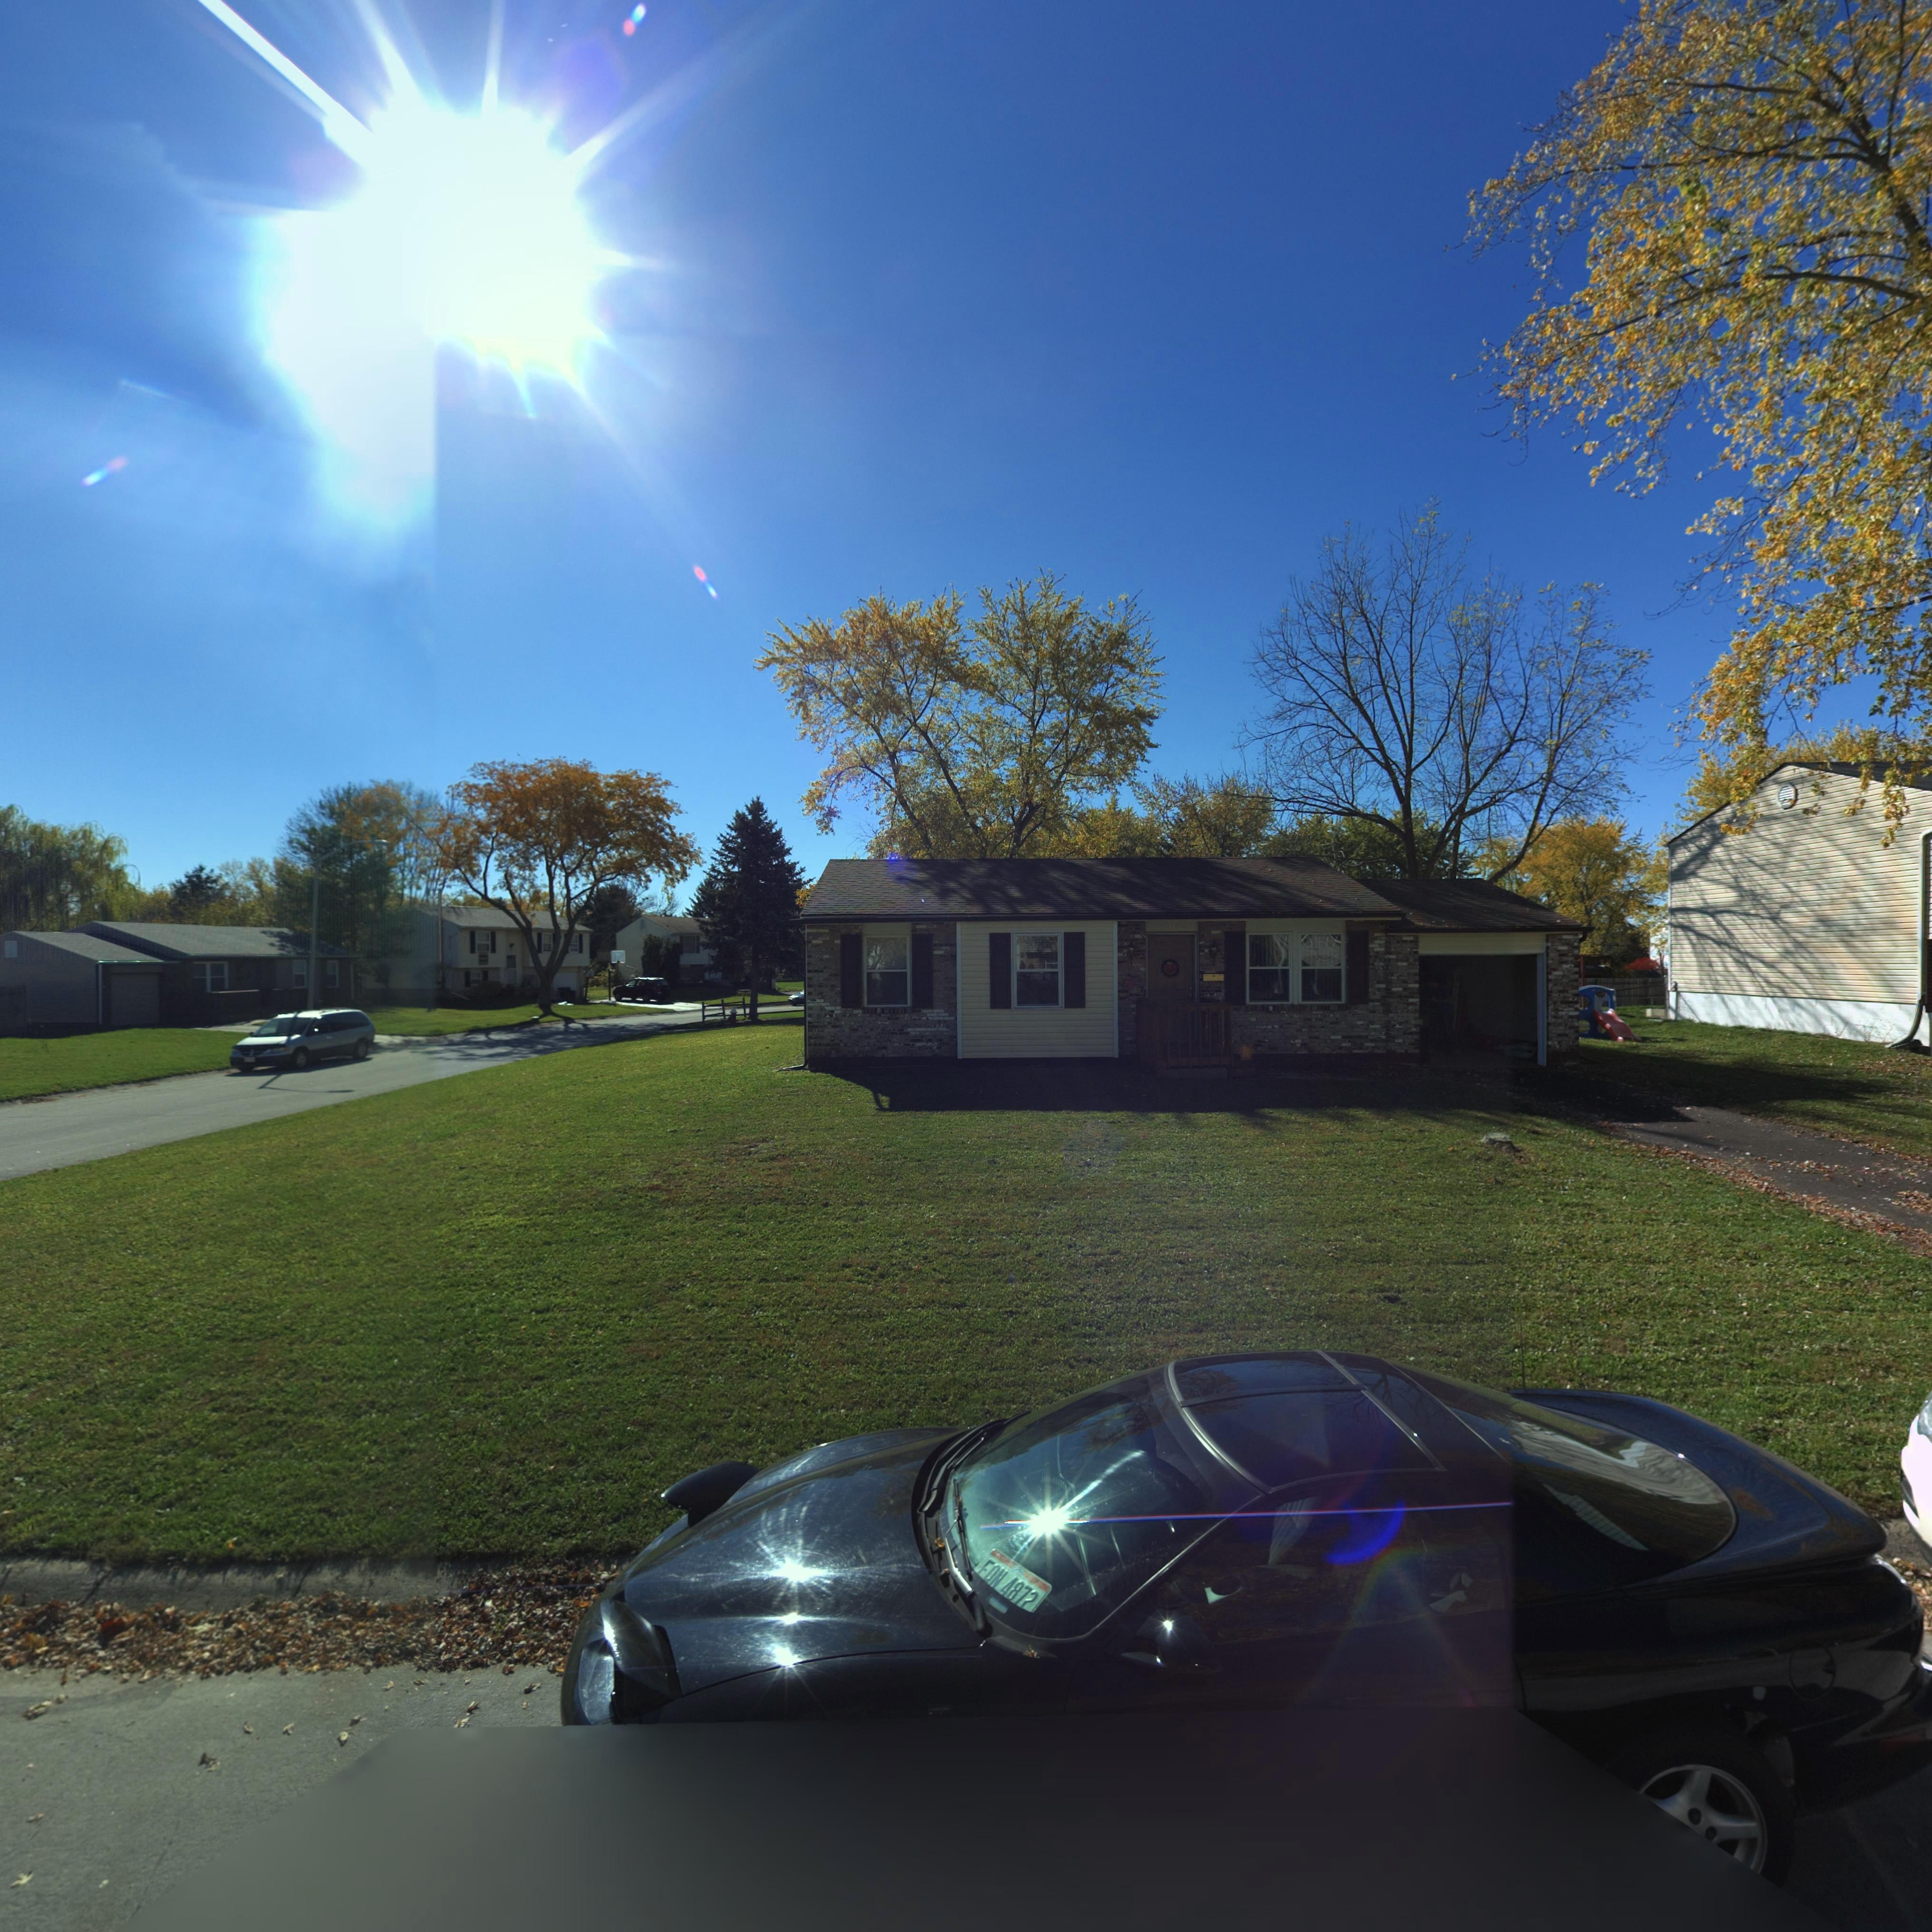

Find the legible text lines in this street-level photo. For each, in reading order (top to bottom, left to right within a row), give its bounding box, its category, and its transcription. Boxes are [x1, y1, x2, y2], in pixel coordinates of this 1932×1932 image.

[1163, 923, 1180, 932] StreetNumber: 703